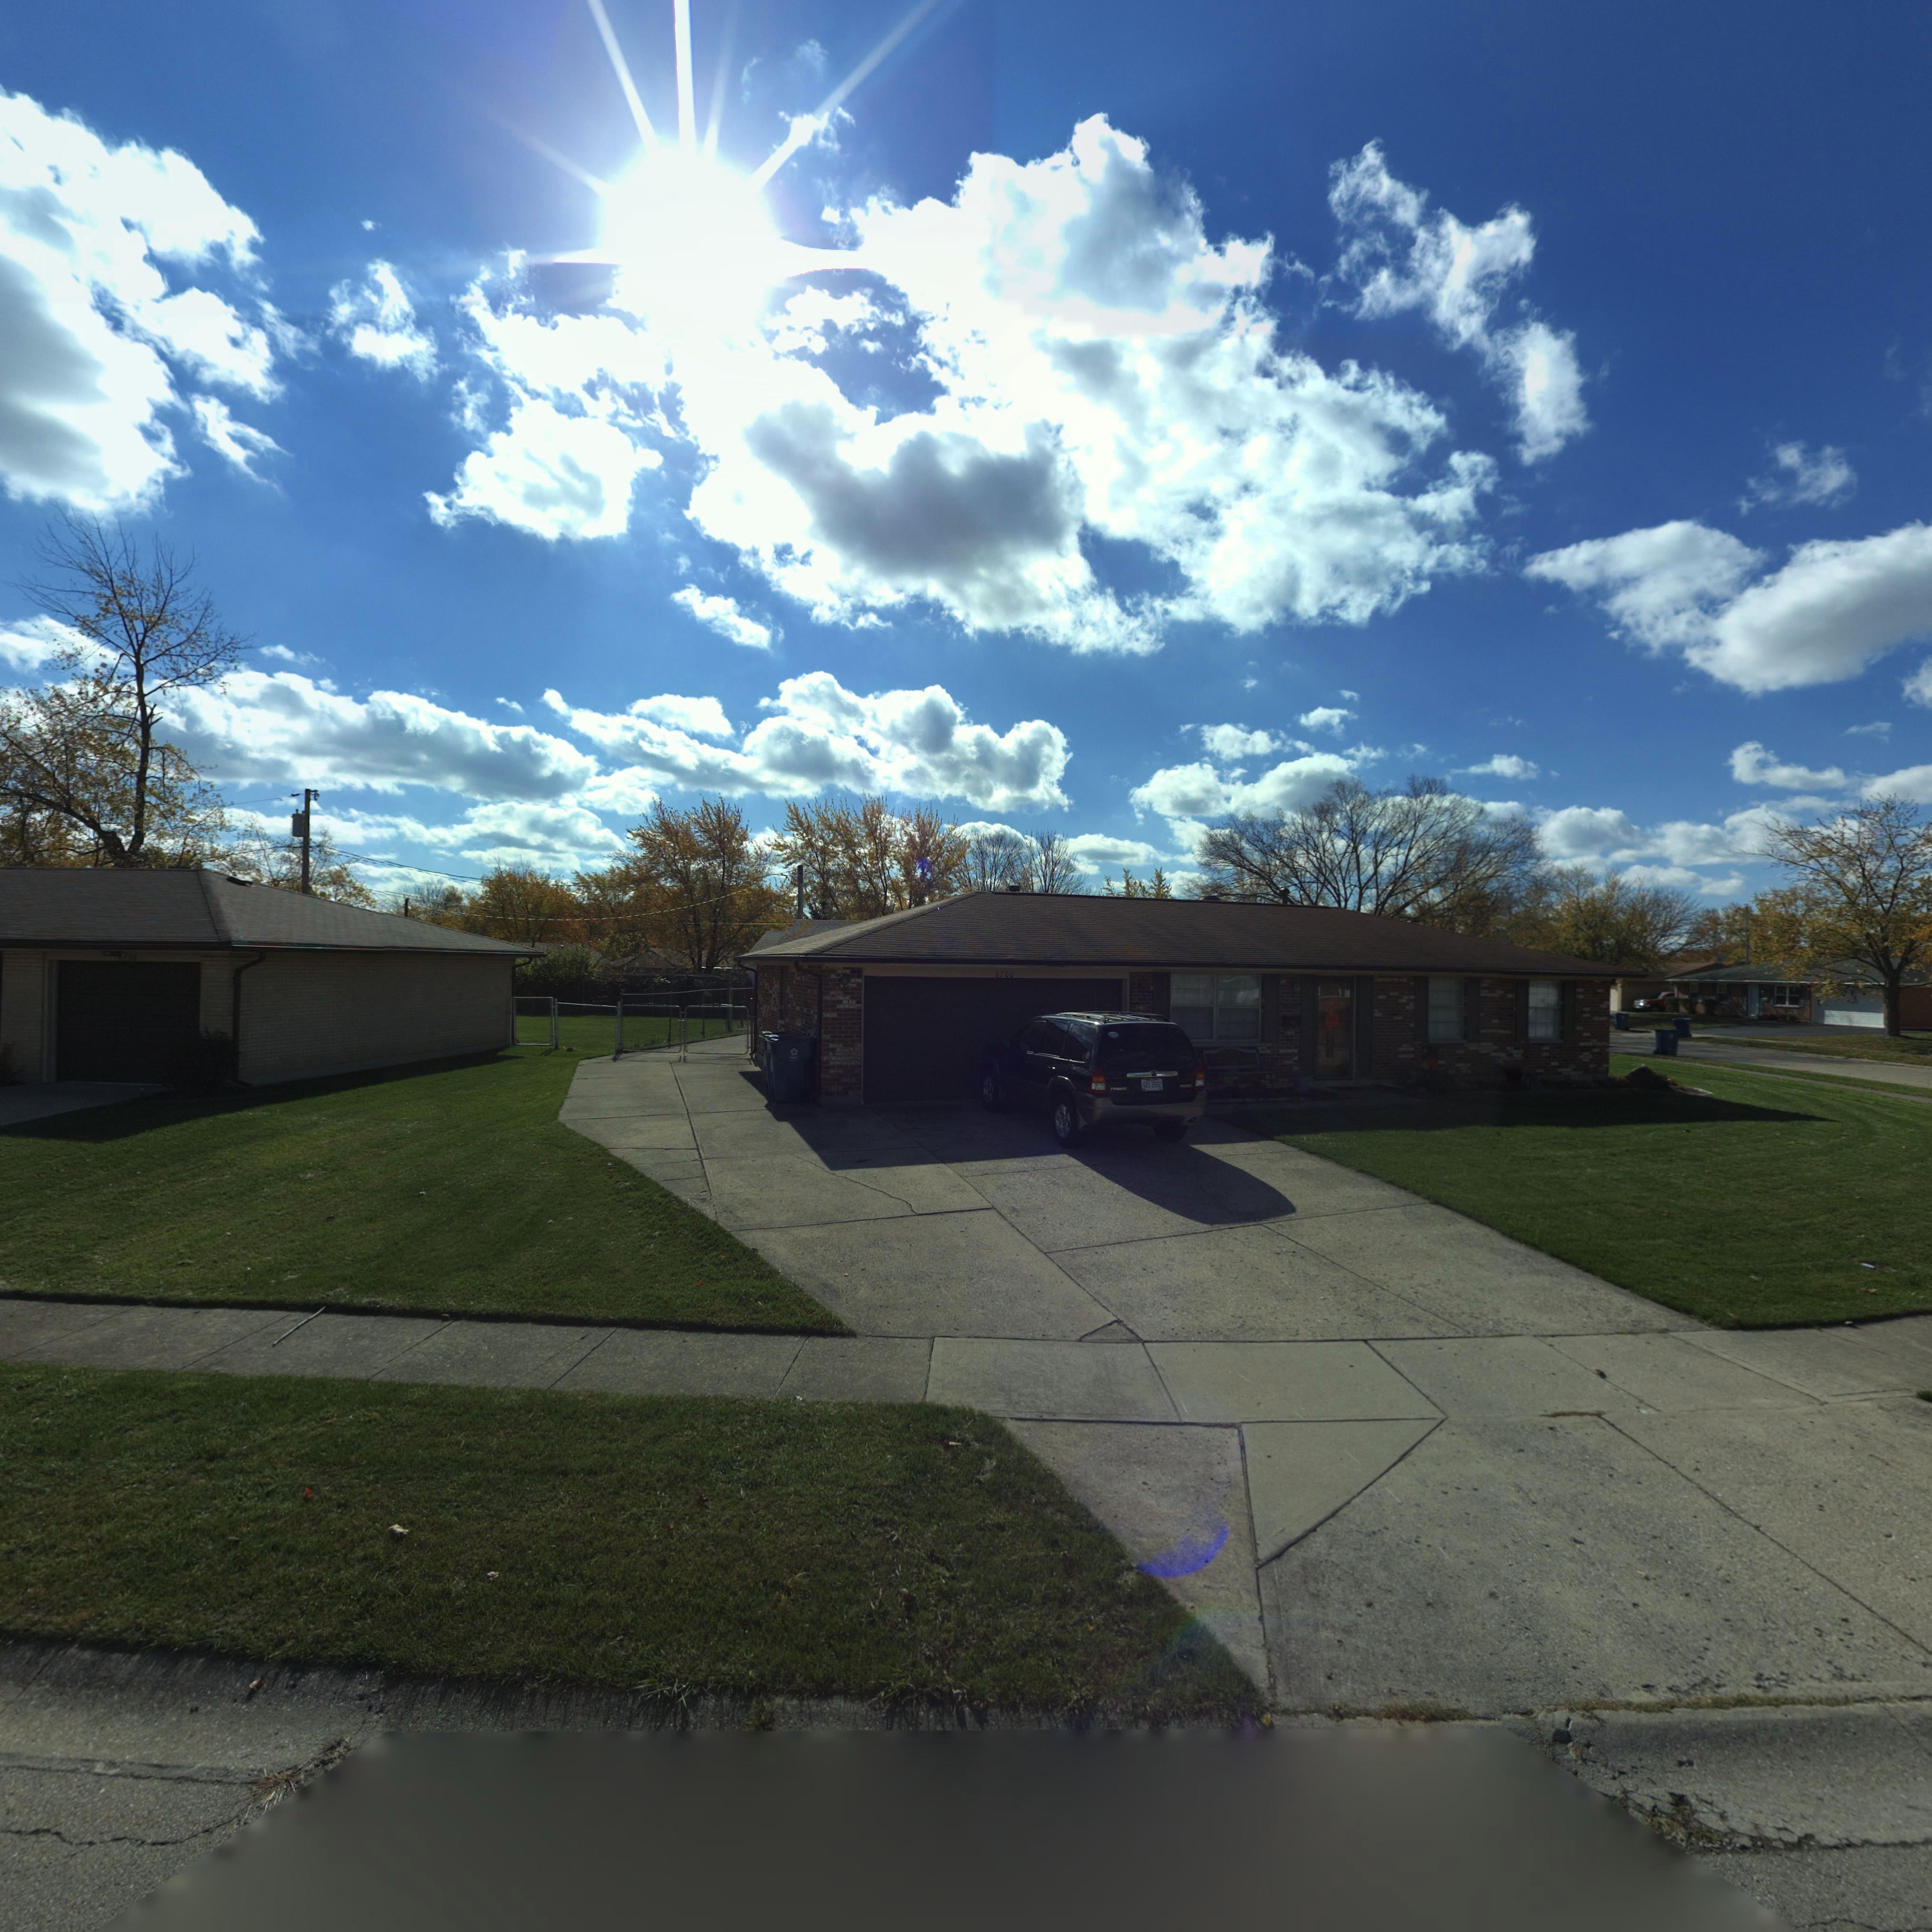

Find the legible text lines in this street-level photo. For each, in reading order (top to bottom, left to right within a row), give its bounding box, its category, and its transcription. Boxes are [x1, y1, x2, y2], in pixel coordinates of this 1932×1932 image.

[117, 953, 137, 961] StreetNumber: 6750
[995, 971, 1014, 978] StreetNumber: 6700